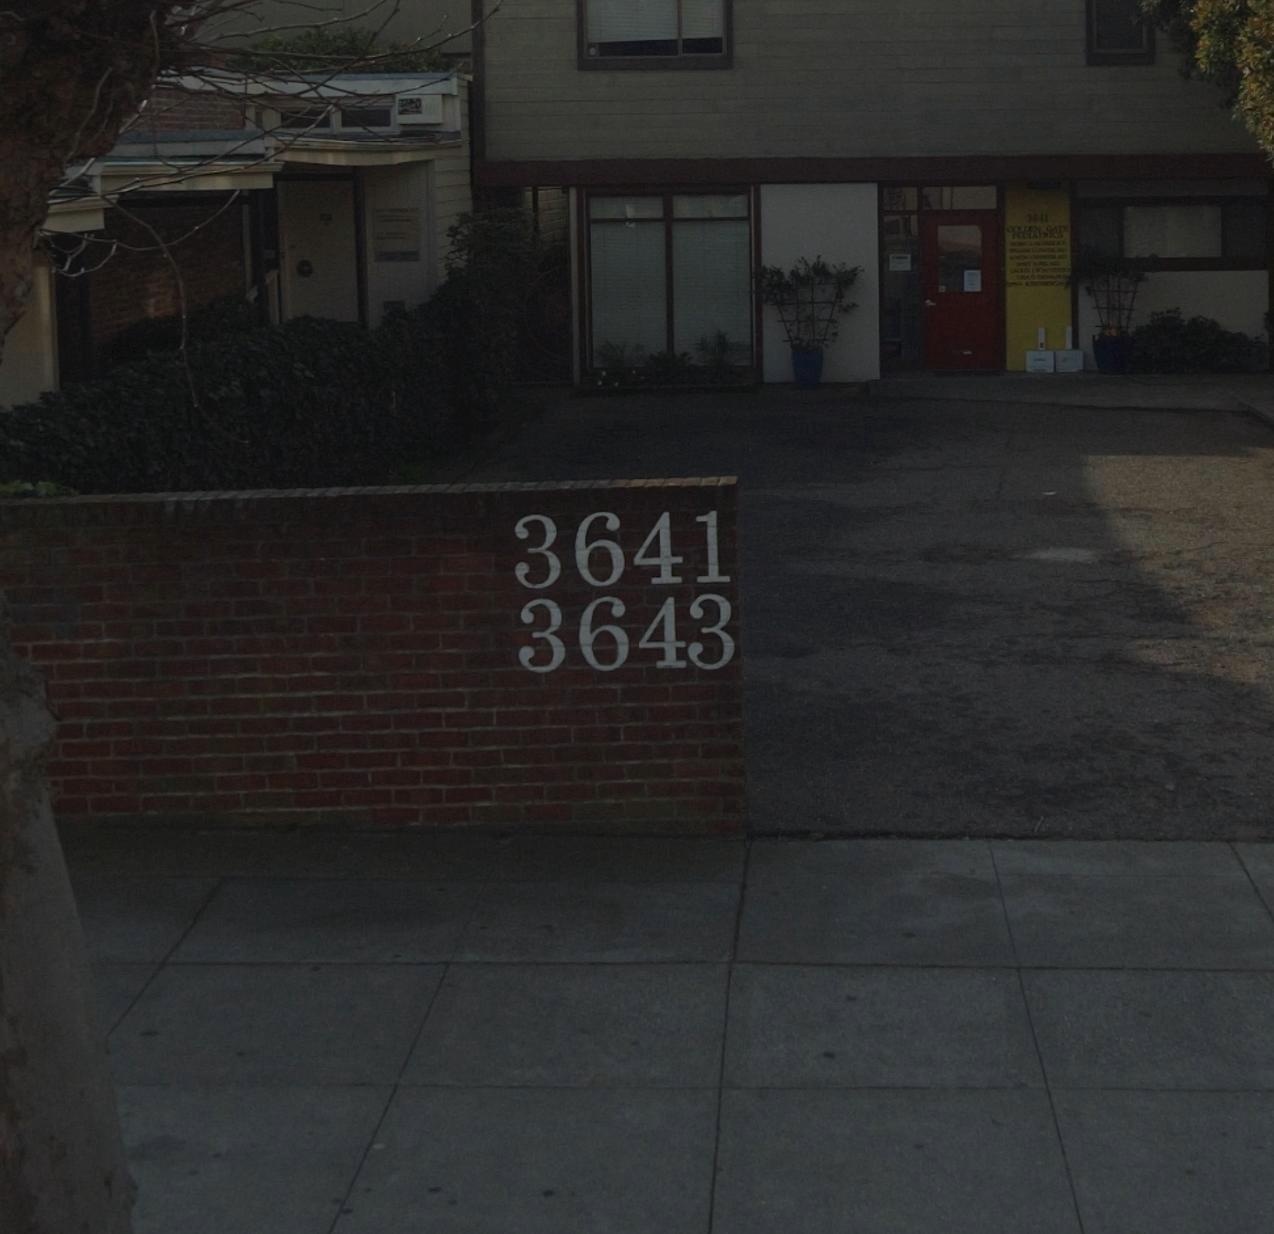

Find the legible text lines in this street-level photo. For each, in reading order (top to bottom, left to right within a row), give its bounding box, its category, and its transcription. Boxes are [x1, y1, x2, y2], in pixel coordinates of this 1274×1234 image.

[511, 507, 733, 593] StreetNumber: 3641
[515, 590, 739, 676] StreetNumber: 3643